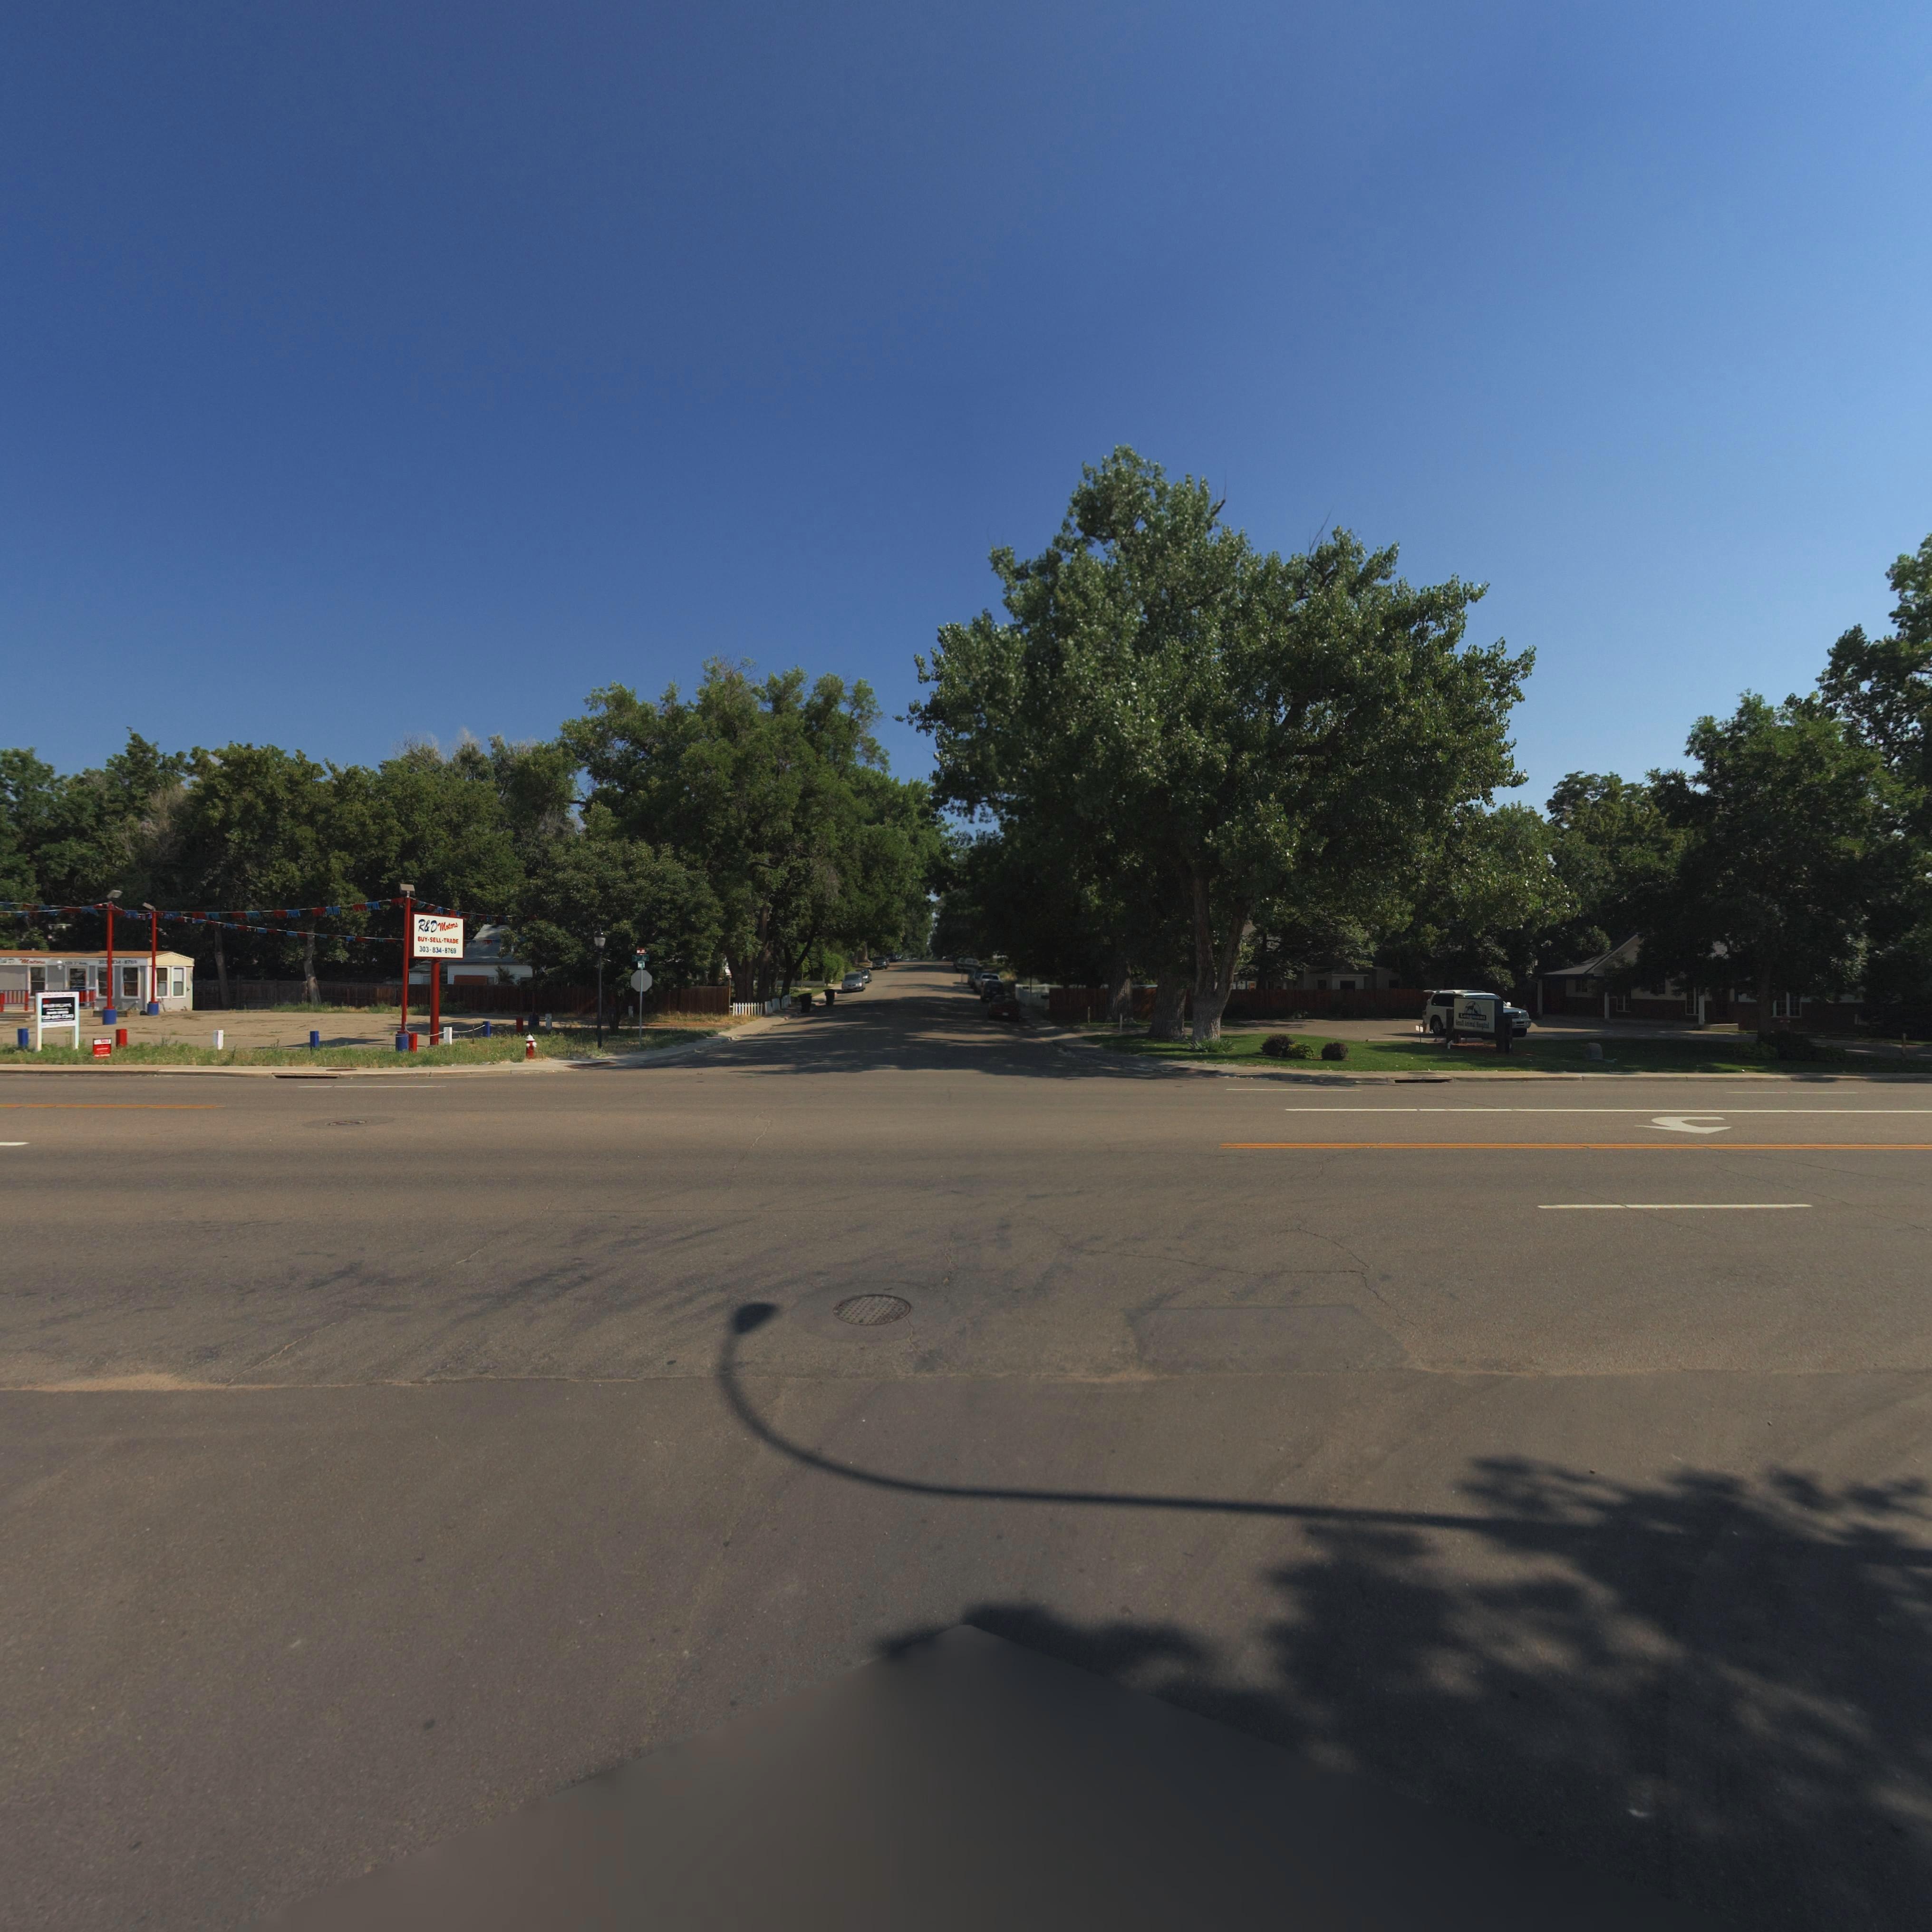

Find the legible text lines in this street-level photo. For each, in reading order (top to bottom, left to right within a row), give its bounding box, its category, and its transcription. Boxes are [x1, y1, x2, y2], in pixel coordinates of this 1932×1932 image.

[417, 918, 437, 933] BusinessName: R*D
[437, 921, 459, 932] BusinessName: Motors
[6, 957, 16, 964] BusinessName: D
[18, 958, 46, 965] BusinessName: Motors
[634, 955, 647, 961] StreetName: 3*d A*
[1460, 1013, 1485, 1019] BusinessName: Longmont
[1455, 1018, 1489, 1030] BusinessName: Small Animal Hospital